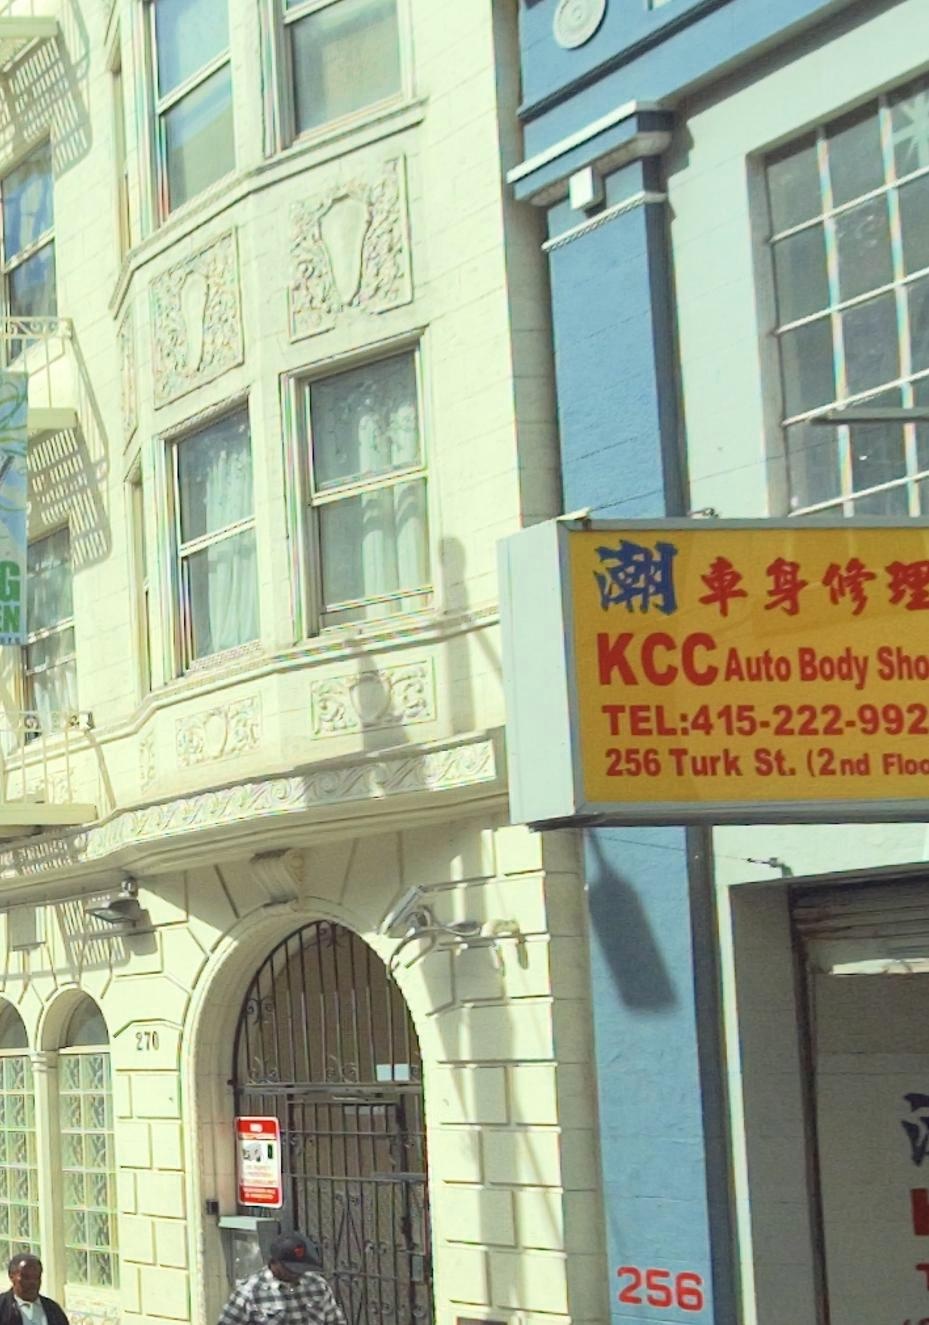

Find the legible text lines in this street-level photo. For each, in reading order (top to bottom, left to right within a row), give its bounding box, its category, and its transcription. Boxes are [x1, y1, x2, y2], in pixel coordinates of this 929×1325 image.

[594, 630, 929, 691] BusinessName: KCC Auto Body Sho
[598, 700, 928, 738] None: TEL:415-222-992
[602, 744, 664, 781] StreetNumber: 256
[666, 745, 802, 779] StreetName: Turk St.
[801, 745, 922, 781] SecondaryUnitDesignator: (2nd Flo
[132, 1027, 163, 1054] StreetNumber: 270
[612, 1261, 707, 1316] StreetNumber: 256